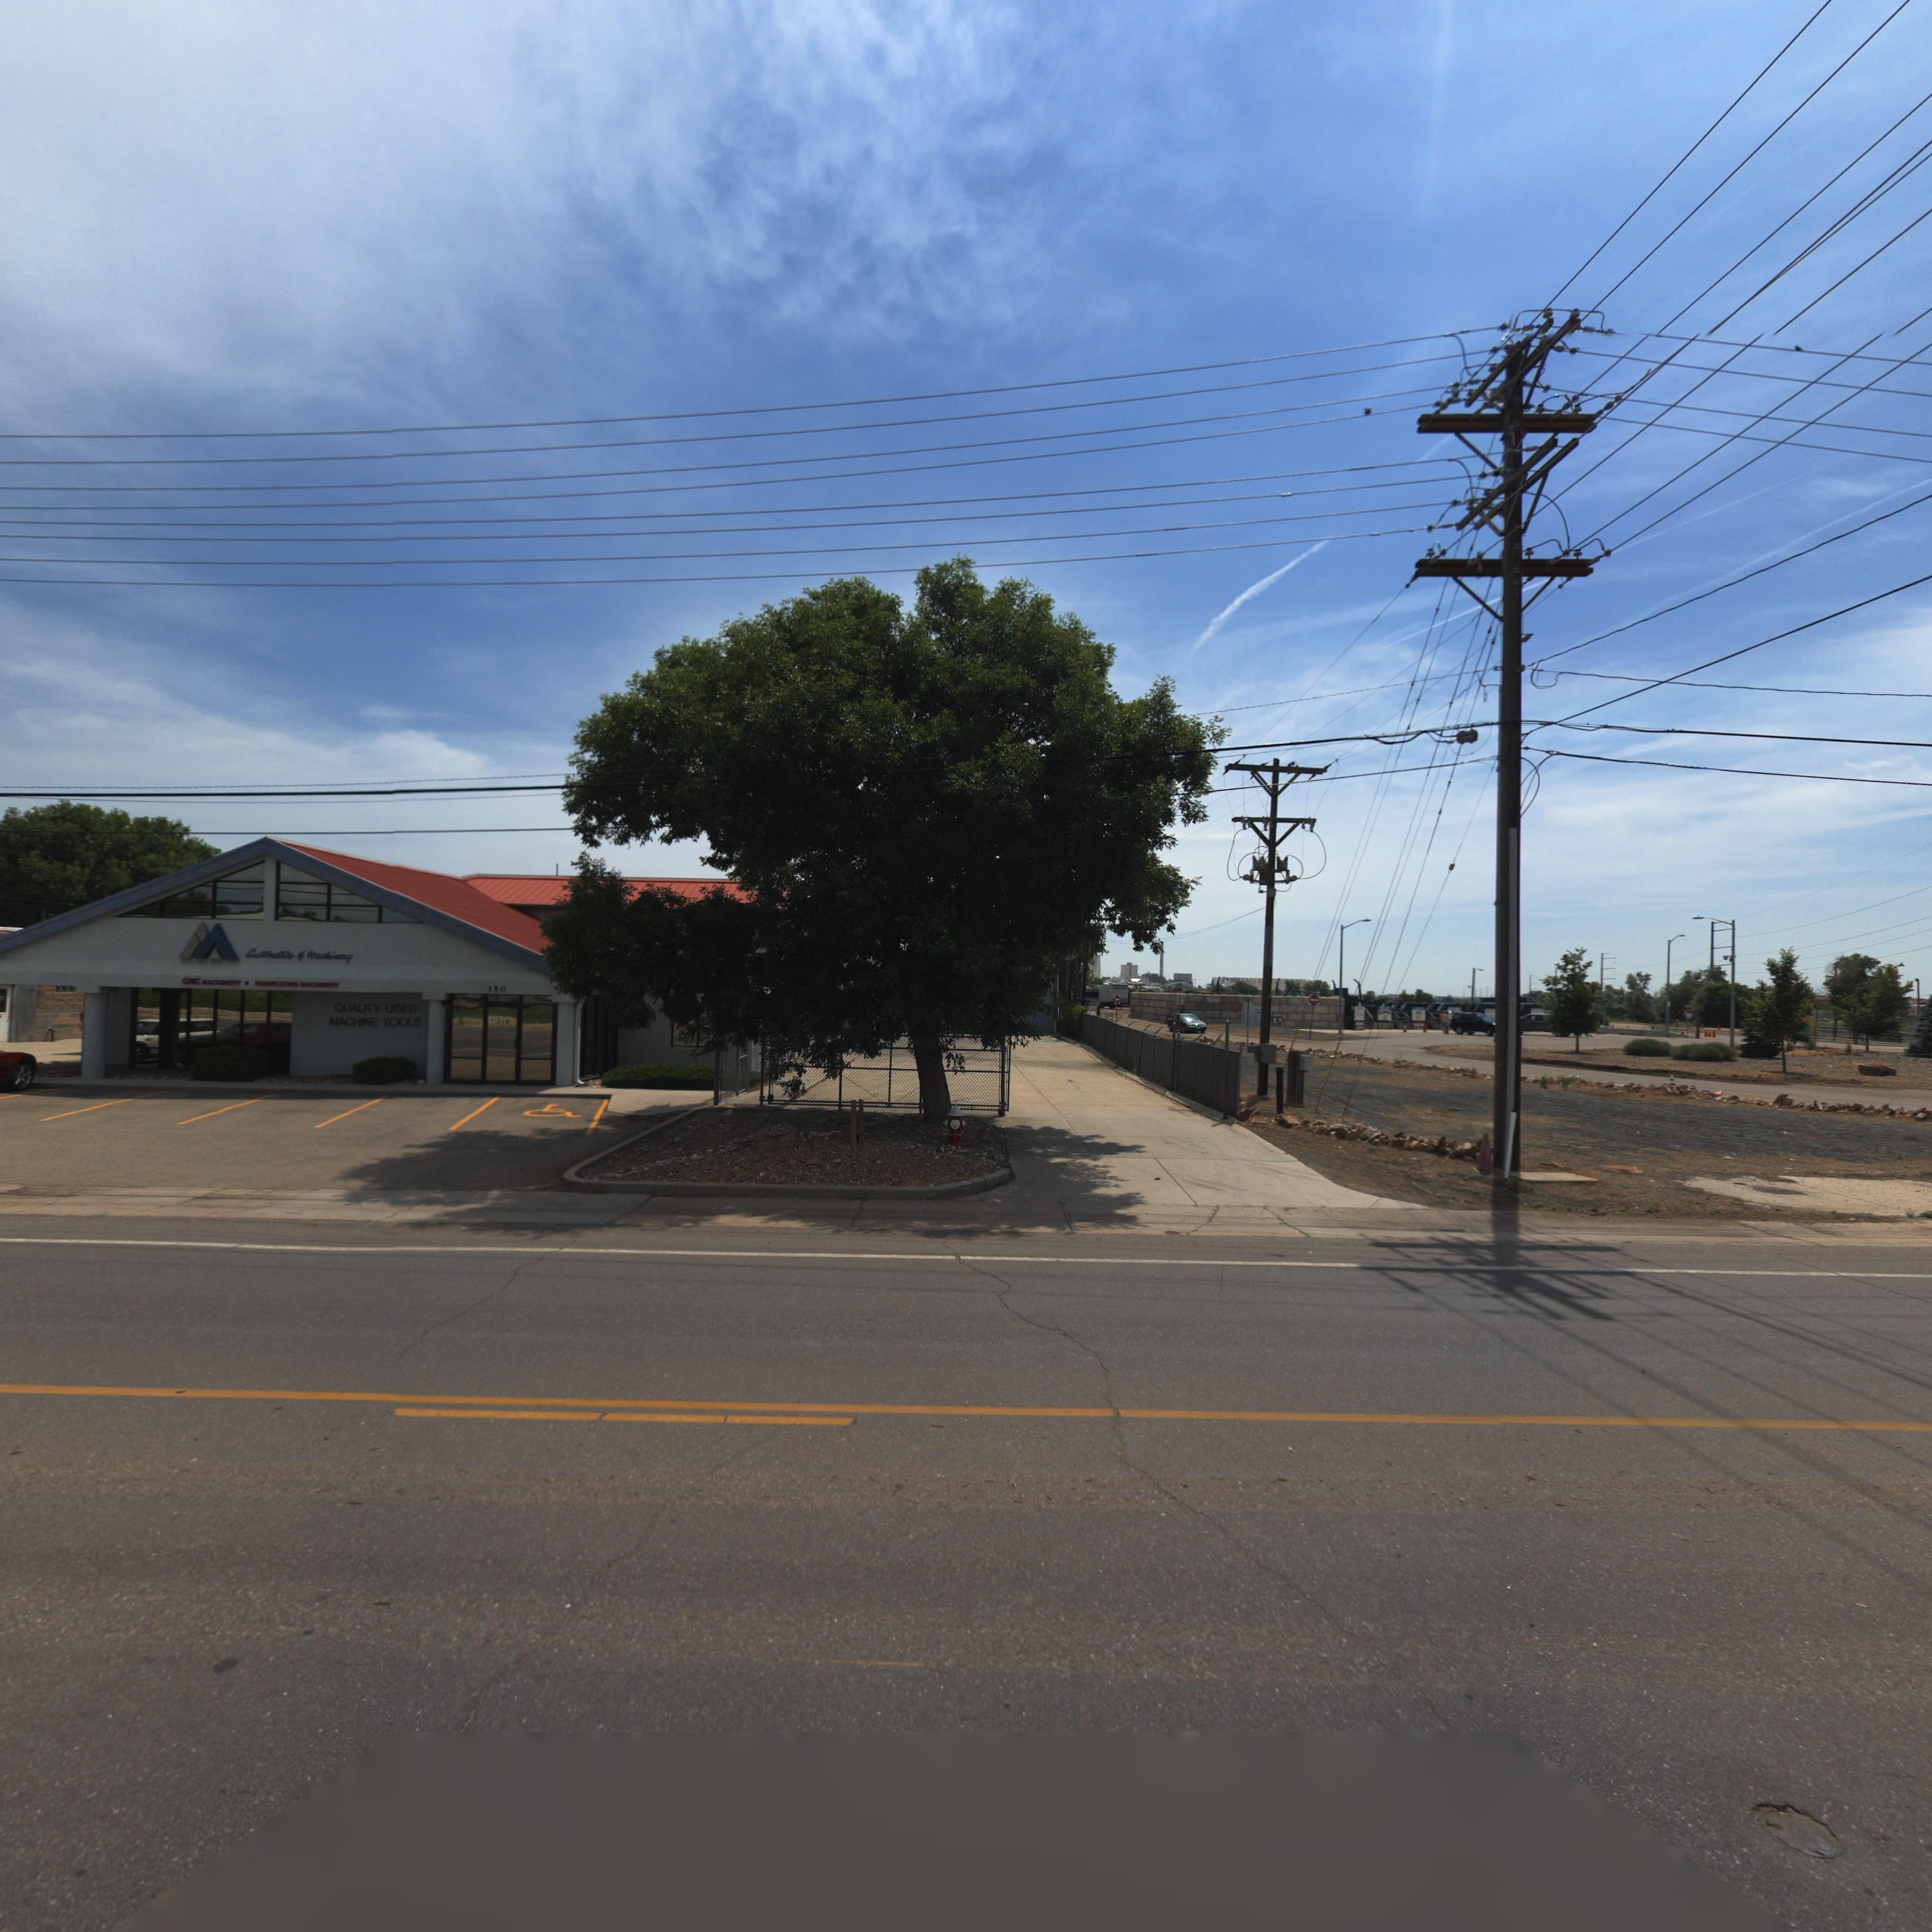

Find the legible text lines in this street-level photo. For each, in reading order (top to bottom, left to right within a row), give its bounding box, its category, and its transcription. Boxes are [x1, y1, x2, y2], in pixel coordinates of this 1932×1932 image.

[242, 947, 355, 965] BusinessName: Autom*t*cs * Machin**y
[487, 985, 505, 993] StreetNumber: 150